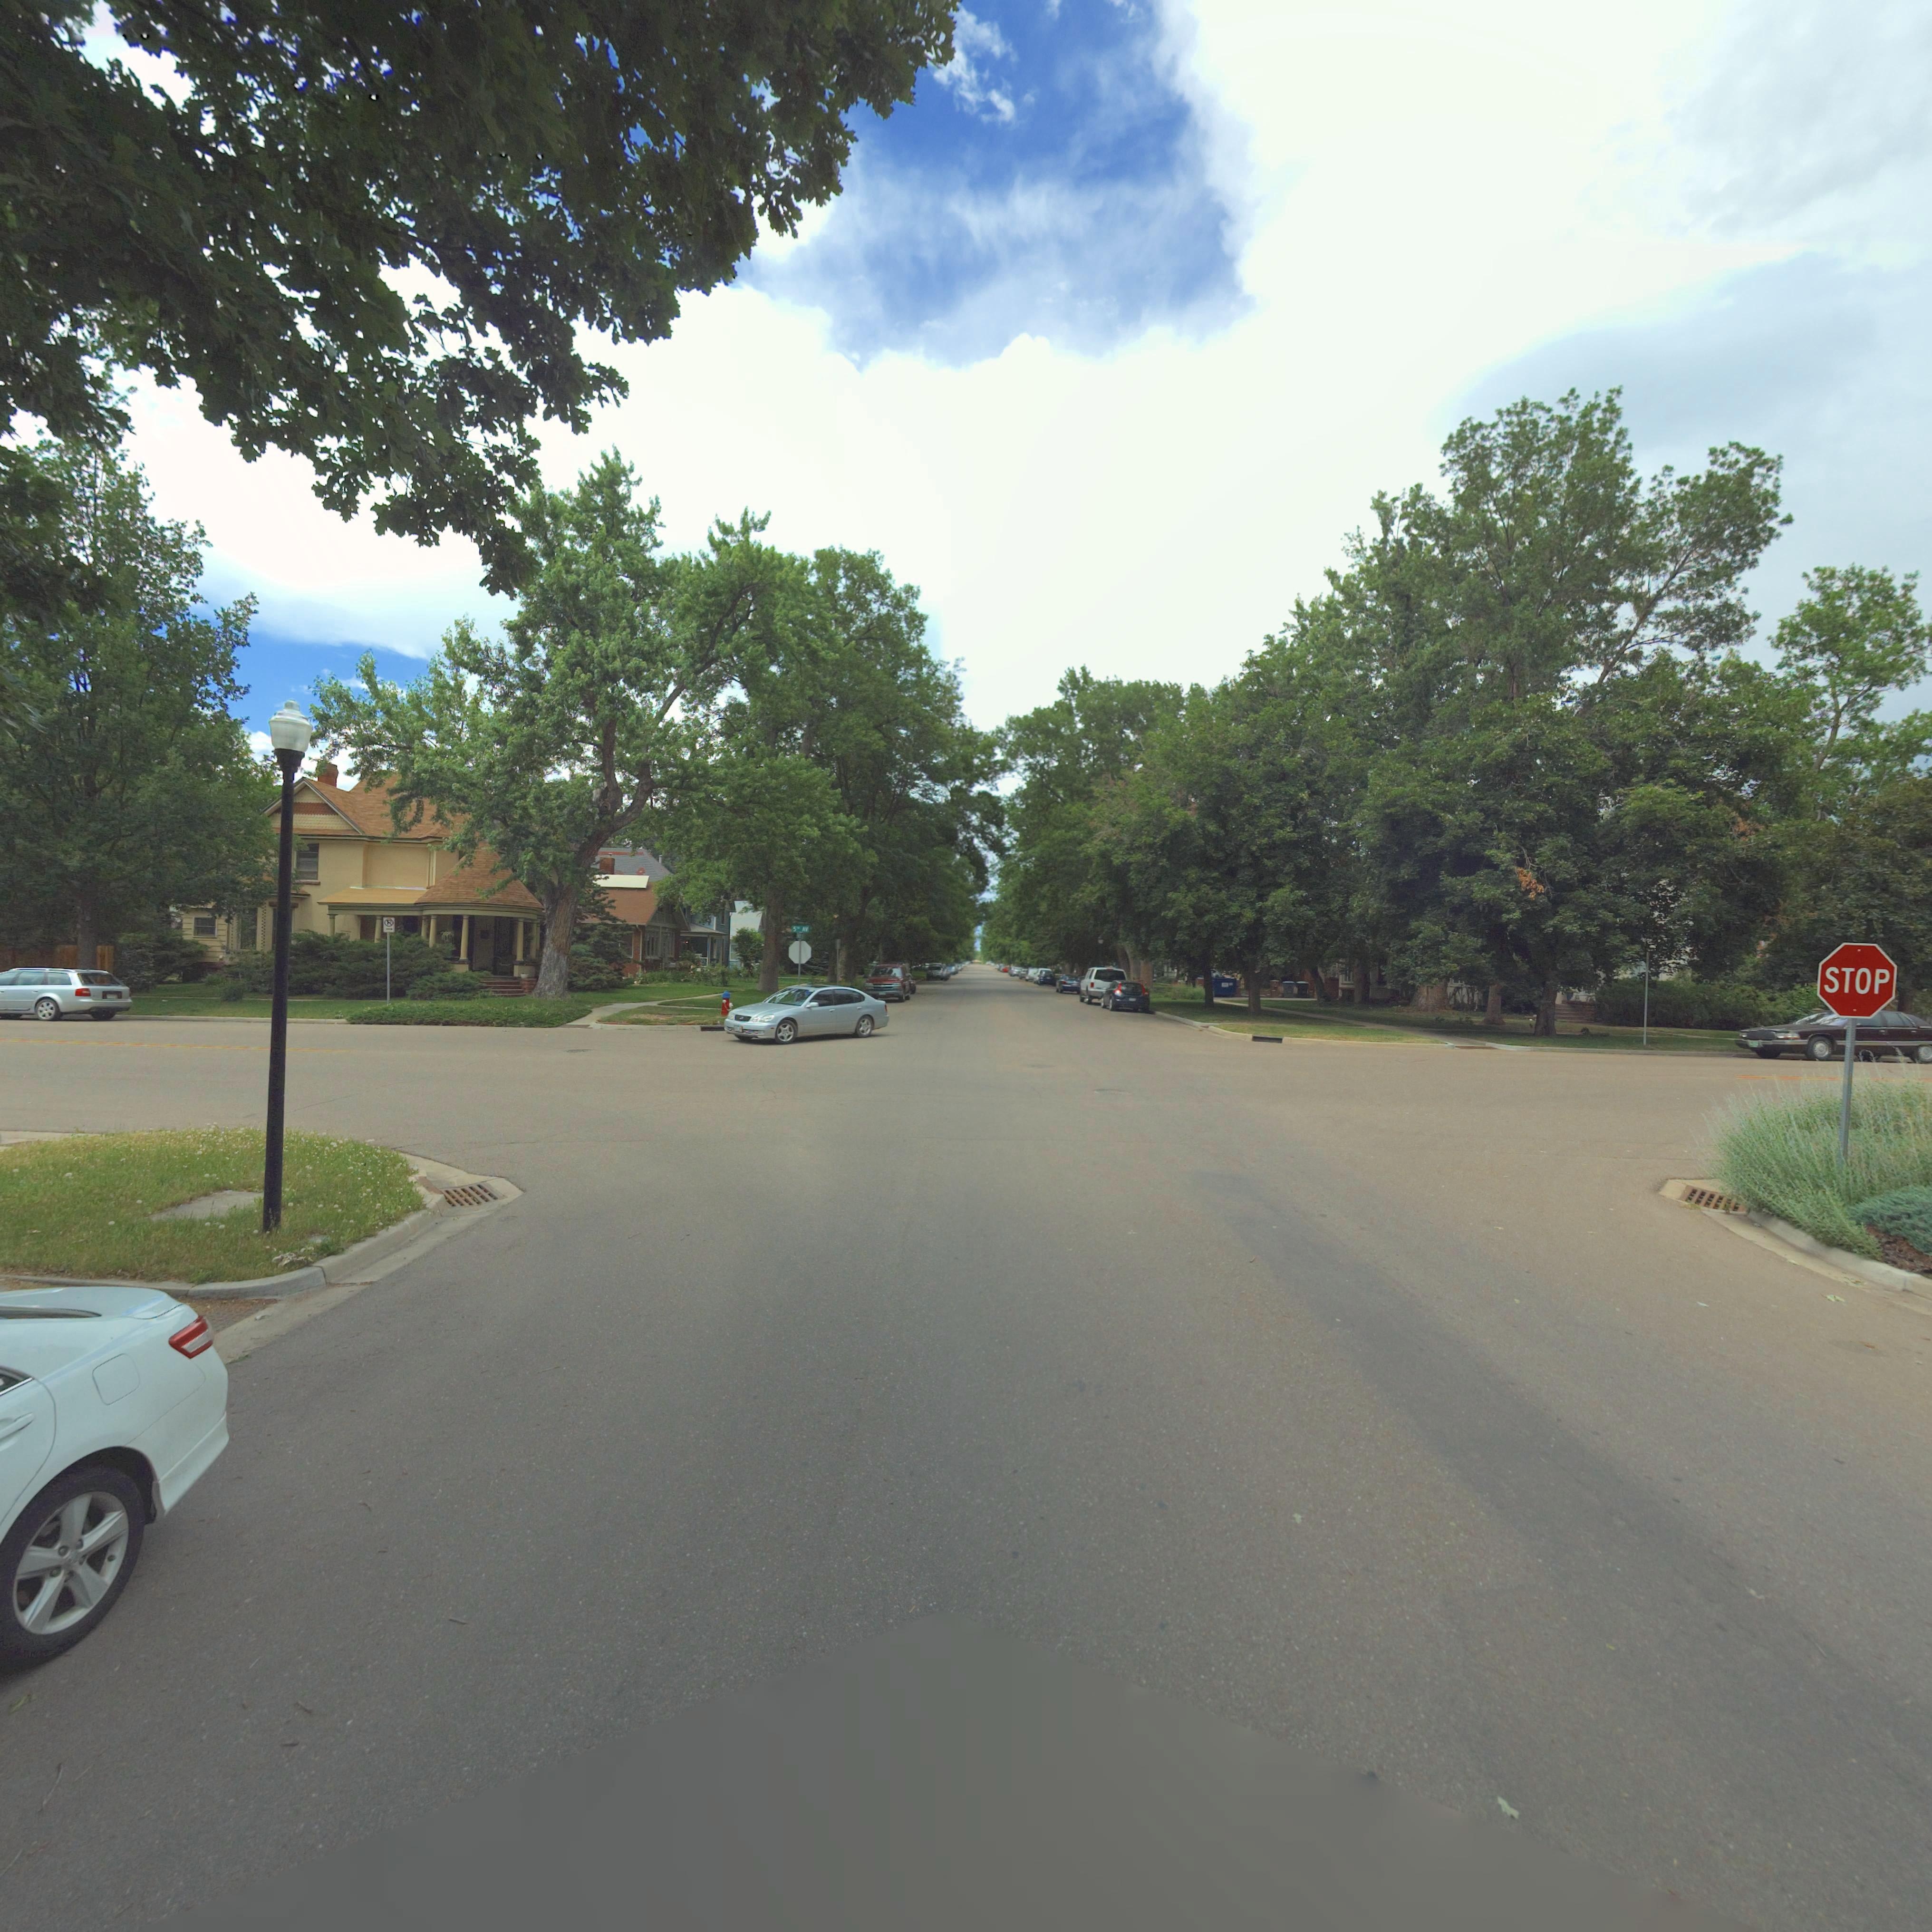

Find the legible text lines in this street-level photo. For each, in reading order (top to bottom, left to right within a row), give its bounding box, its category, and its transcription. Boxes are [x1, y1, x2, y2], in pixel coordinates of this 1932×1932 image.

[792, 926, 809, 932] StreetName: 5TH AV